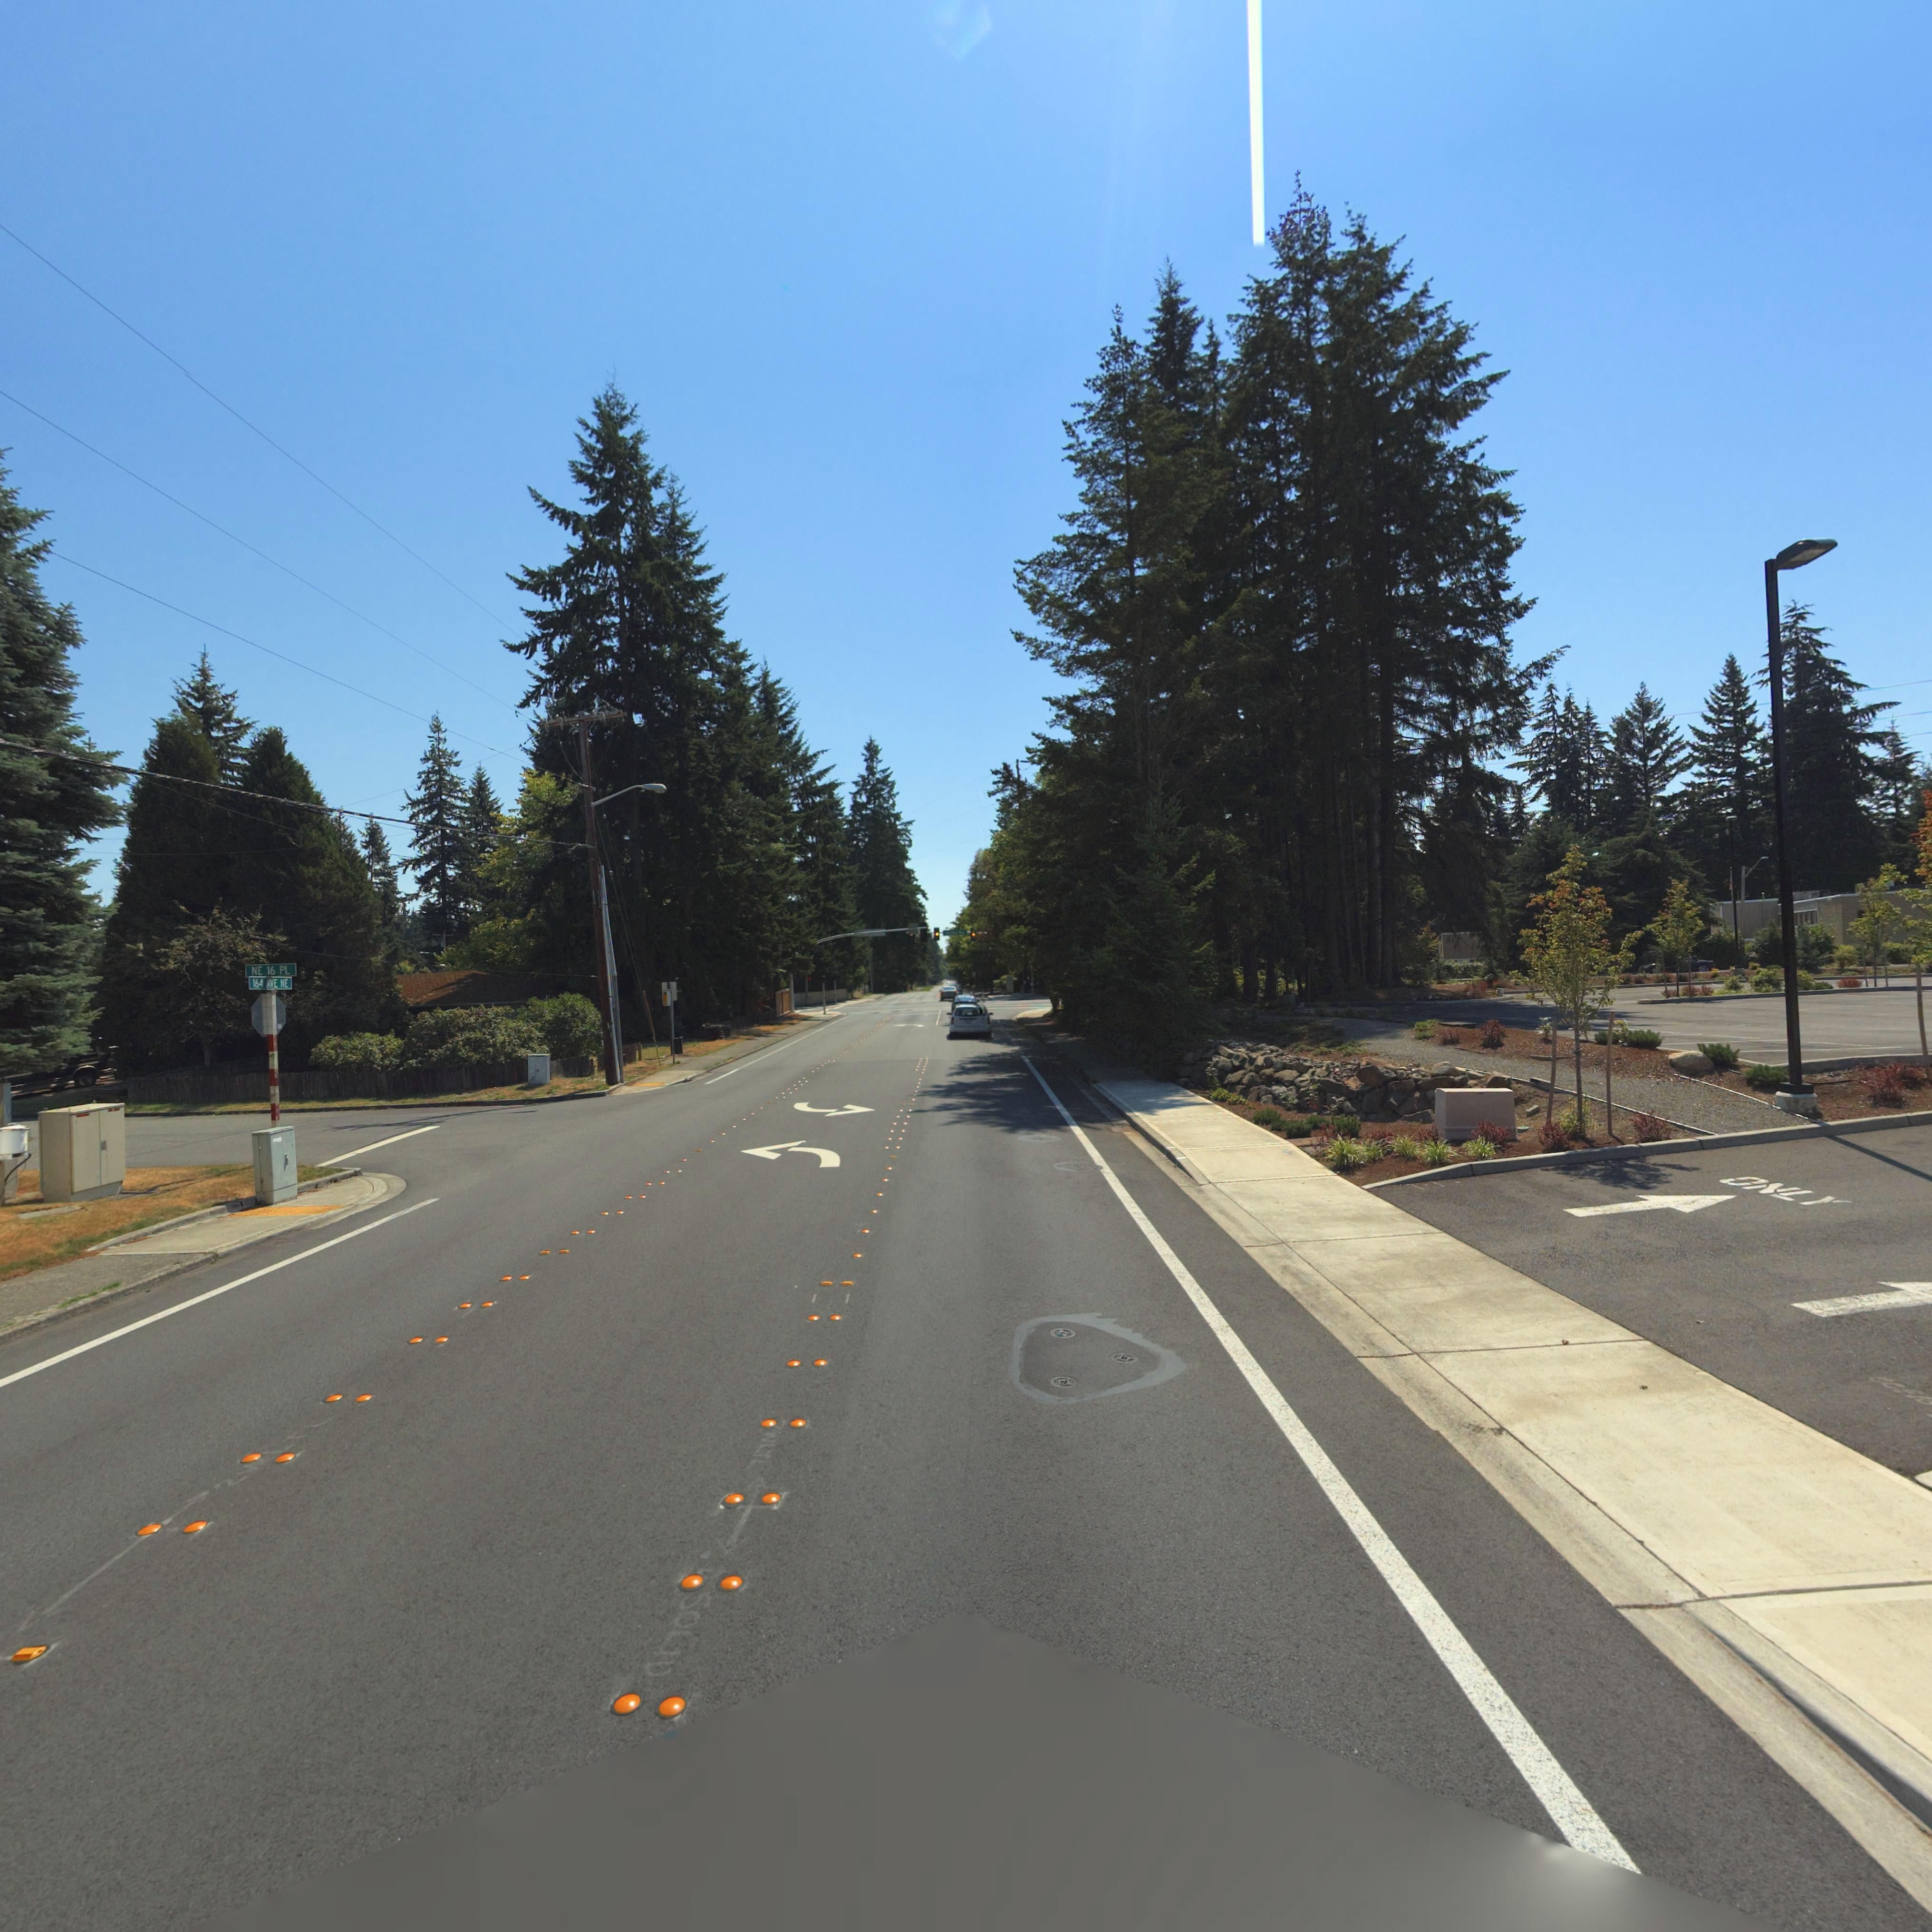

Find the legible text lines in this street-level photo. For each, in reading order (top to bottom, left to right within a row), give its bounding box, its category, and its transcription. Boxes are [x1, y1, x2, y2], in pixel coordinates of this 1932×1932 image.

[250, 965, 290, 976] StreetName: NE 16 PL
[252, 978, 289, 988] StreetName: 164 AVE NE